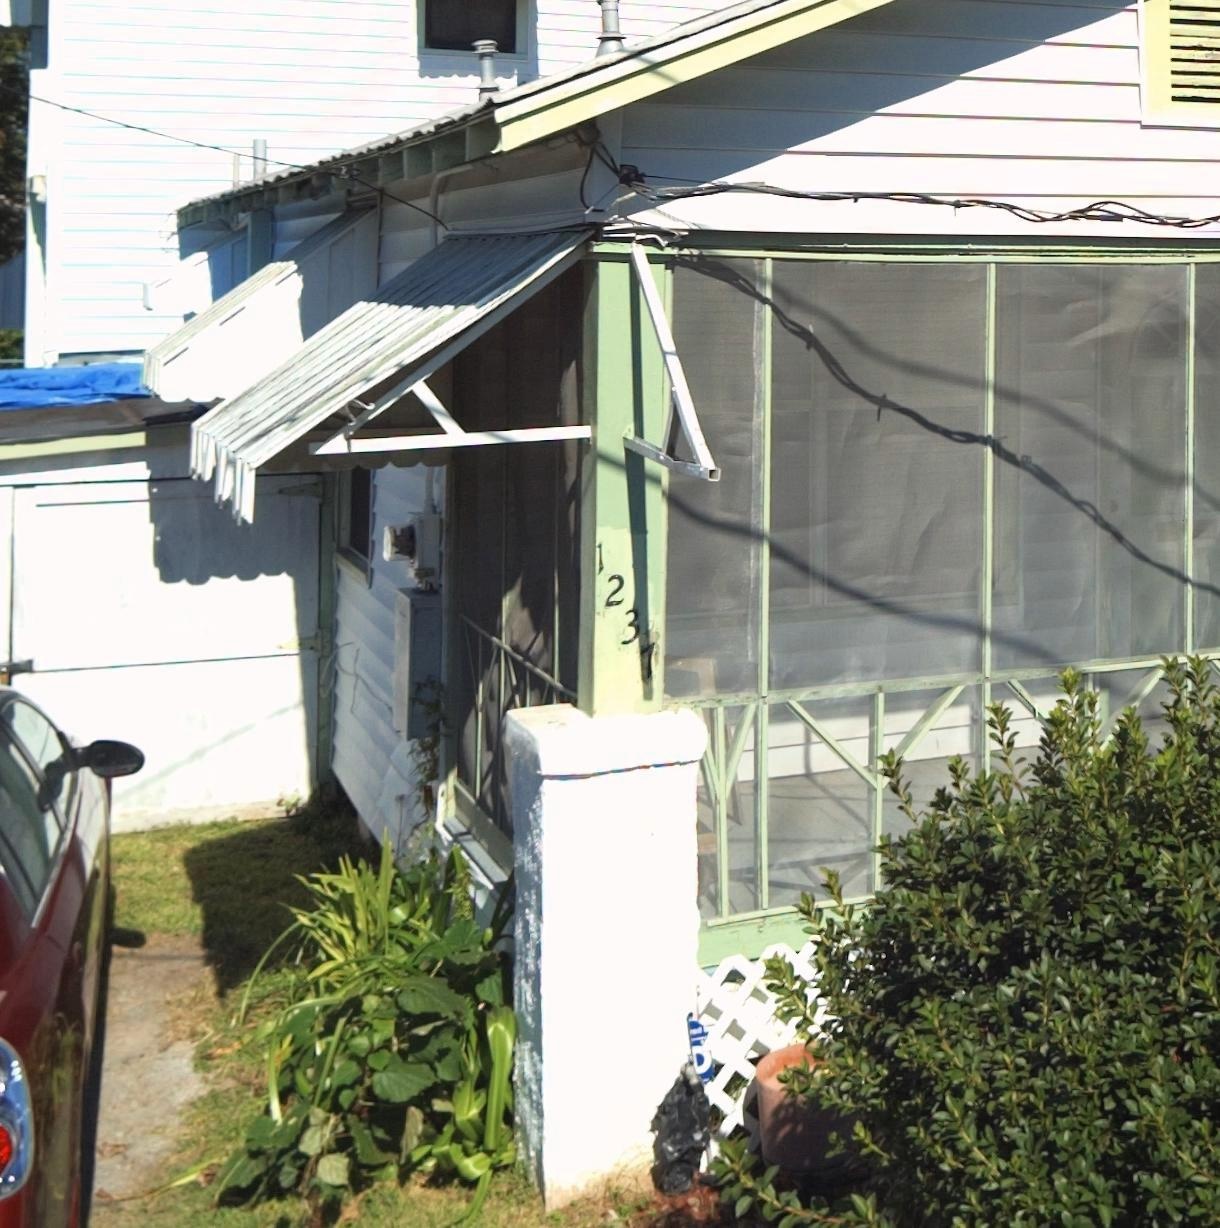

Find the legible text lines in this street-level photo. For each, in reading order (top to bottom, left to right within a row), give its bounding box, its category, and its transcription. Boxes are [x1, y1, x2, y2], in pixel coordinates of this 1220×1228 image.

[592, 539, 659, 684] StreetNumber: 1237